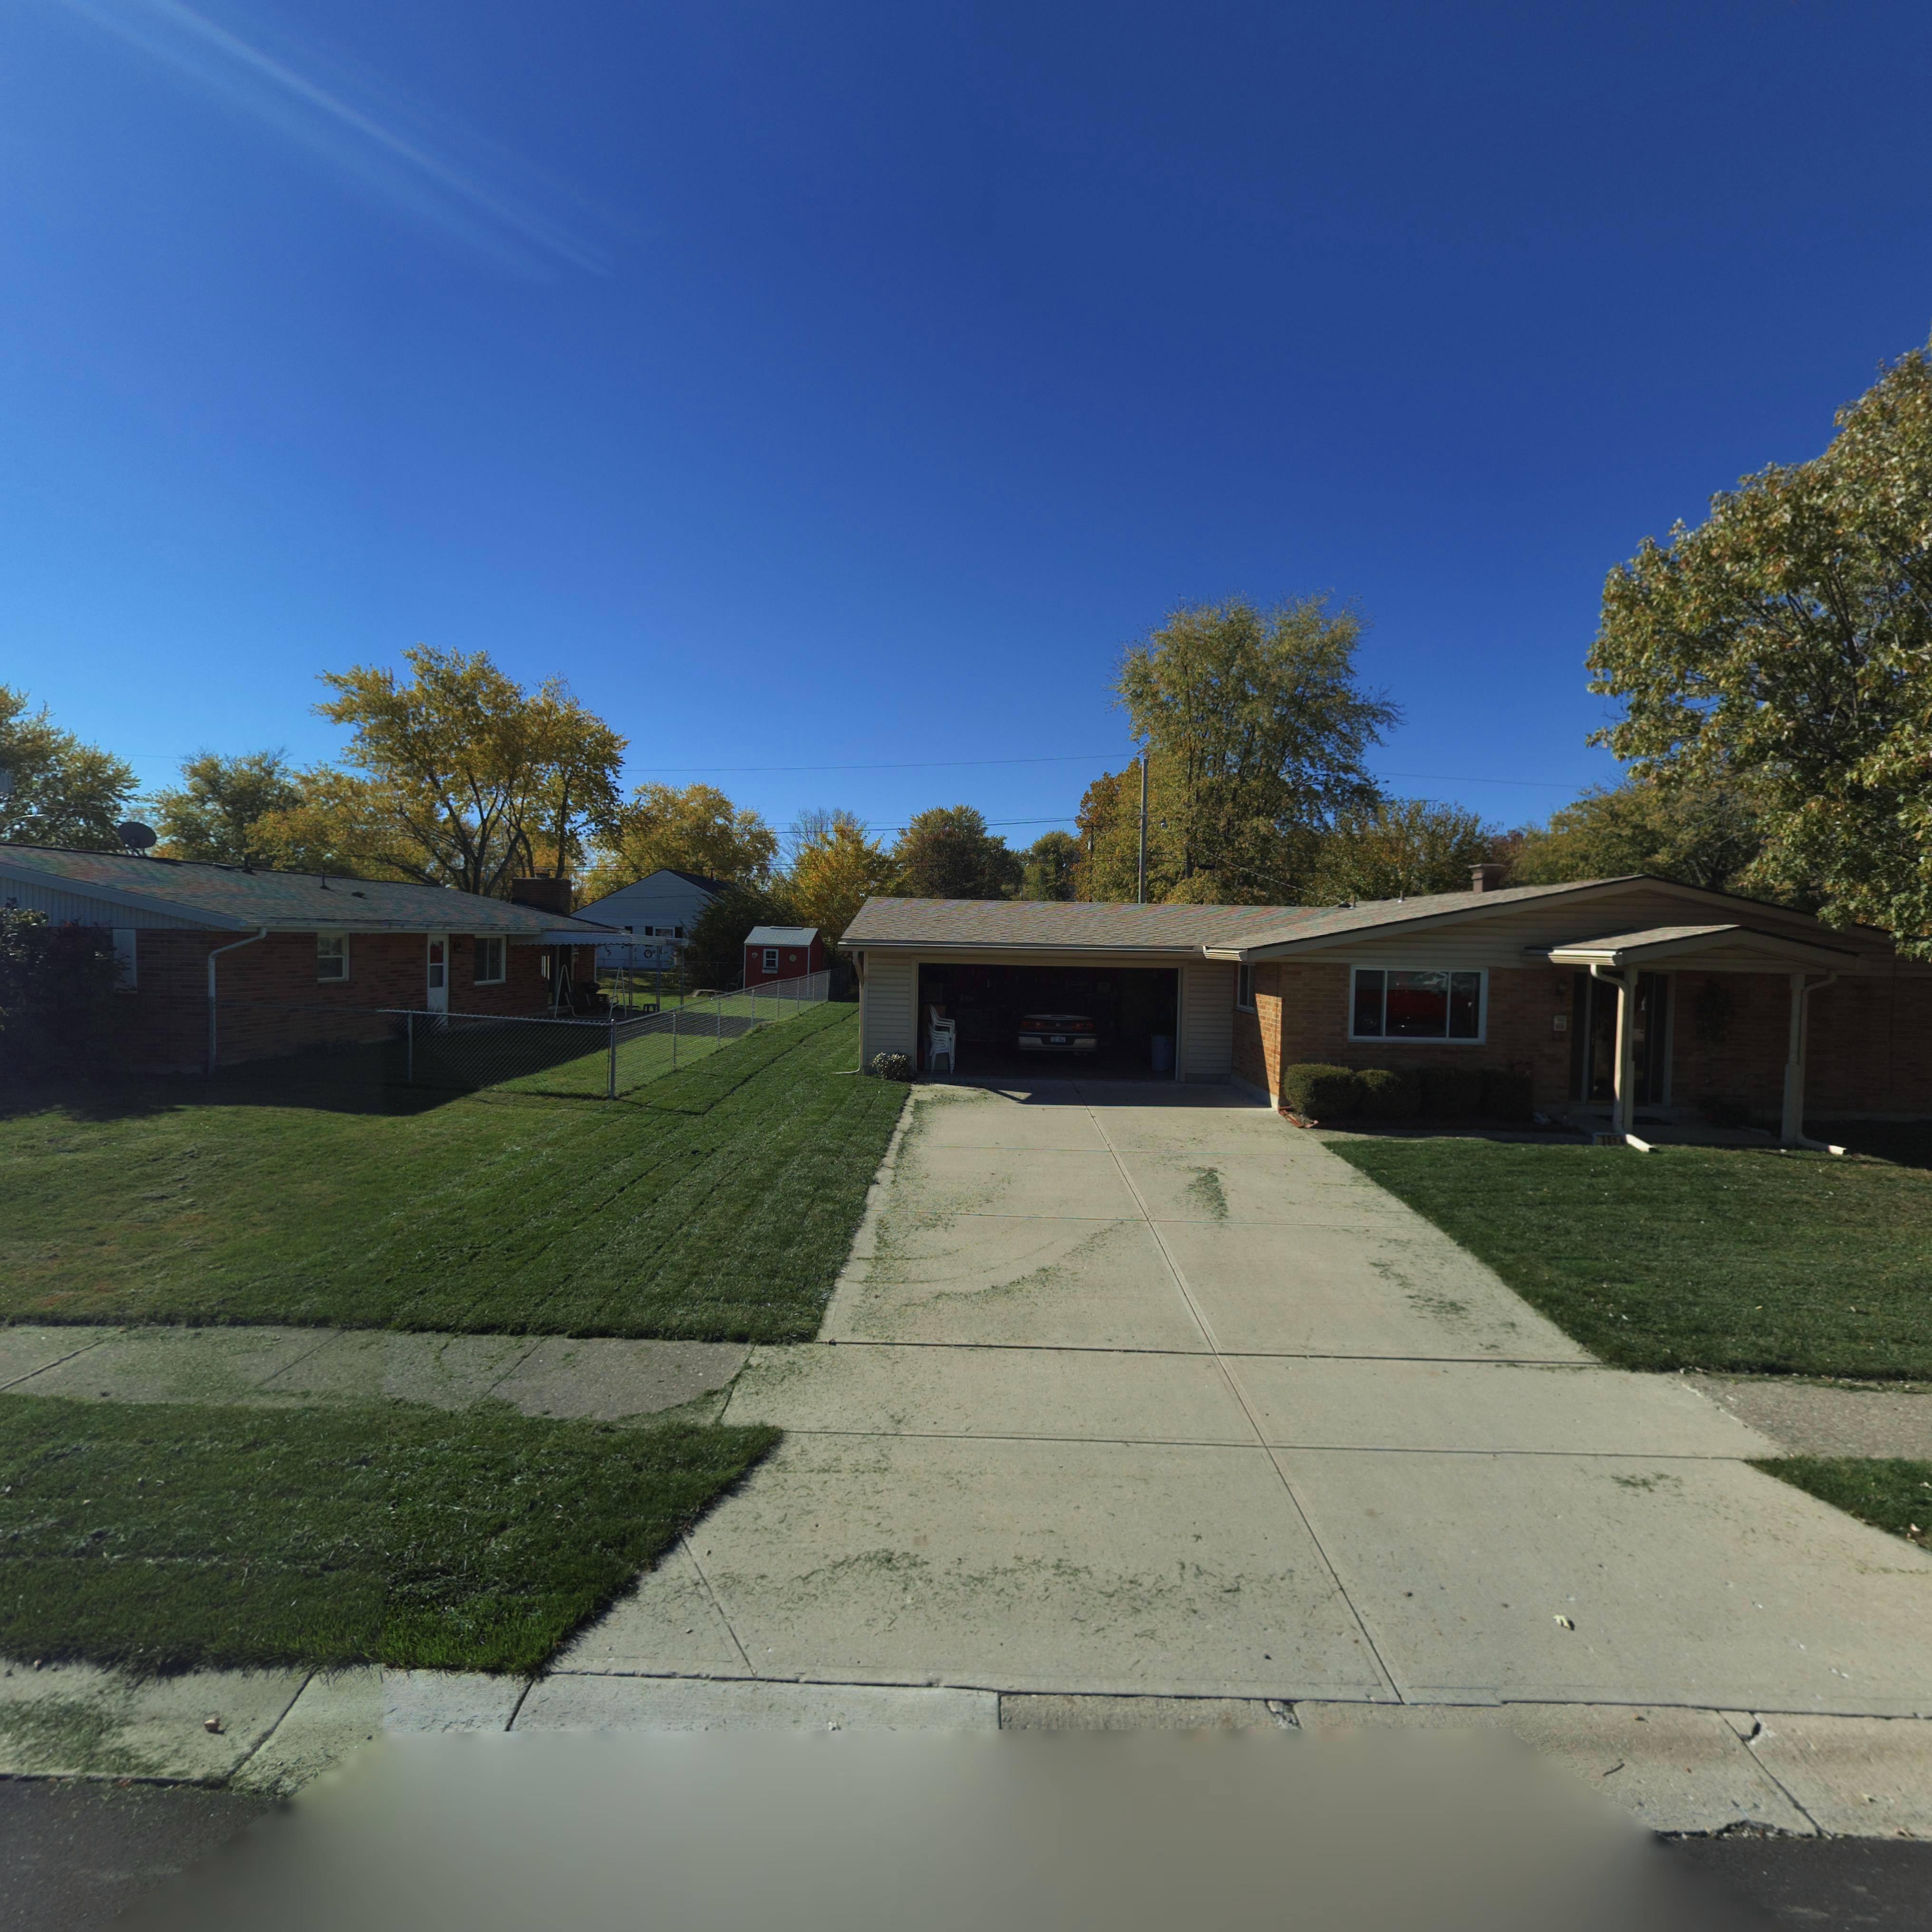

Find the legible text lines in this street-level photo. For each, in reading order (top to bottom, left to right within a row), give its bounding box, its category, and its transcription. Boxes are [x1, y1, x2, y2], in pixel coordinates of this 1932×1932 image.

[1599, 1135, 1619, 1146] StreetNumber: 302